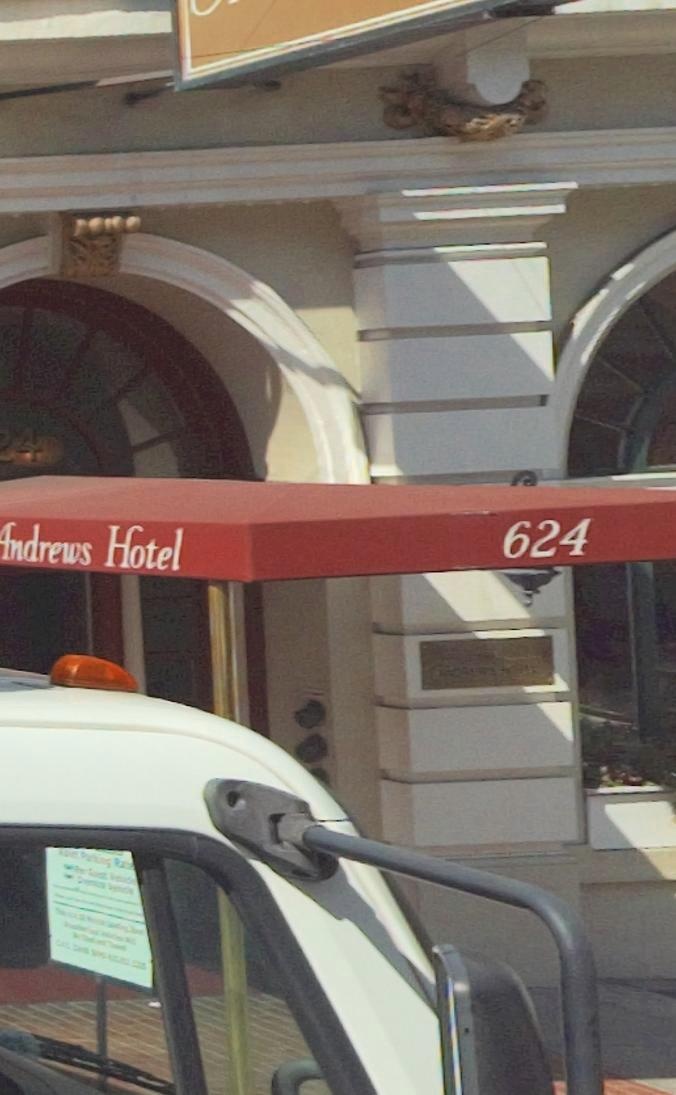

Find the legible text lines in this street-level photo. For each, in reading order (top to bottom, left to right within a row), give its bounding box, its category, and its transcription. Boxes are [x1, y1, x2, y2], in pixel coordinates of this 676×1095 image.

[8, 522, 186, 573] BusinessName: ndrews Hotel
[502, 517, 594, 560] StreetNumber: 624